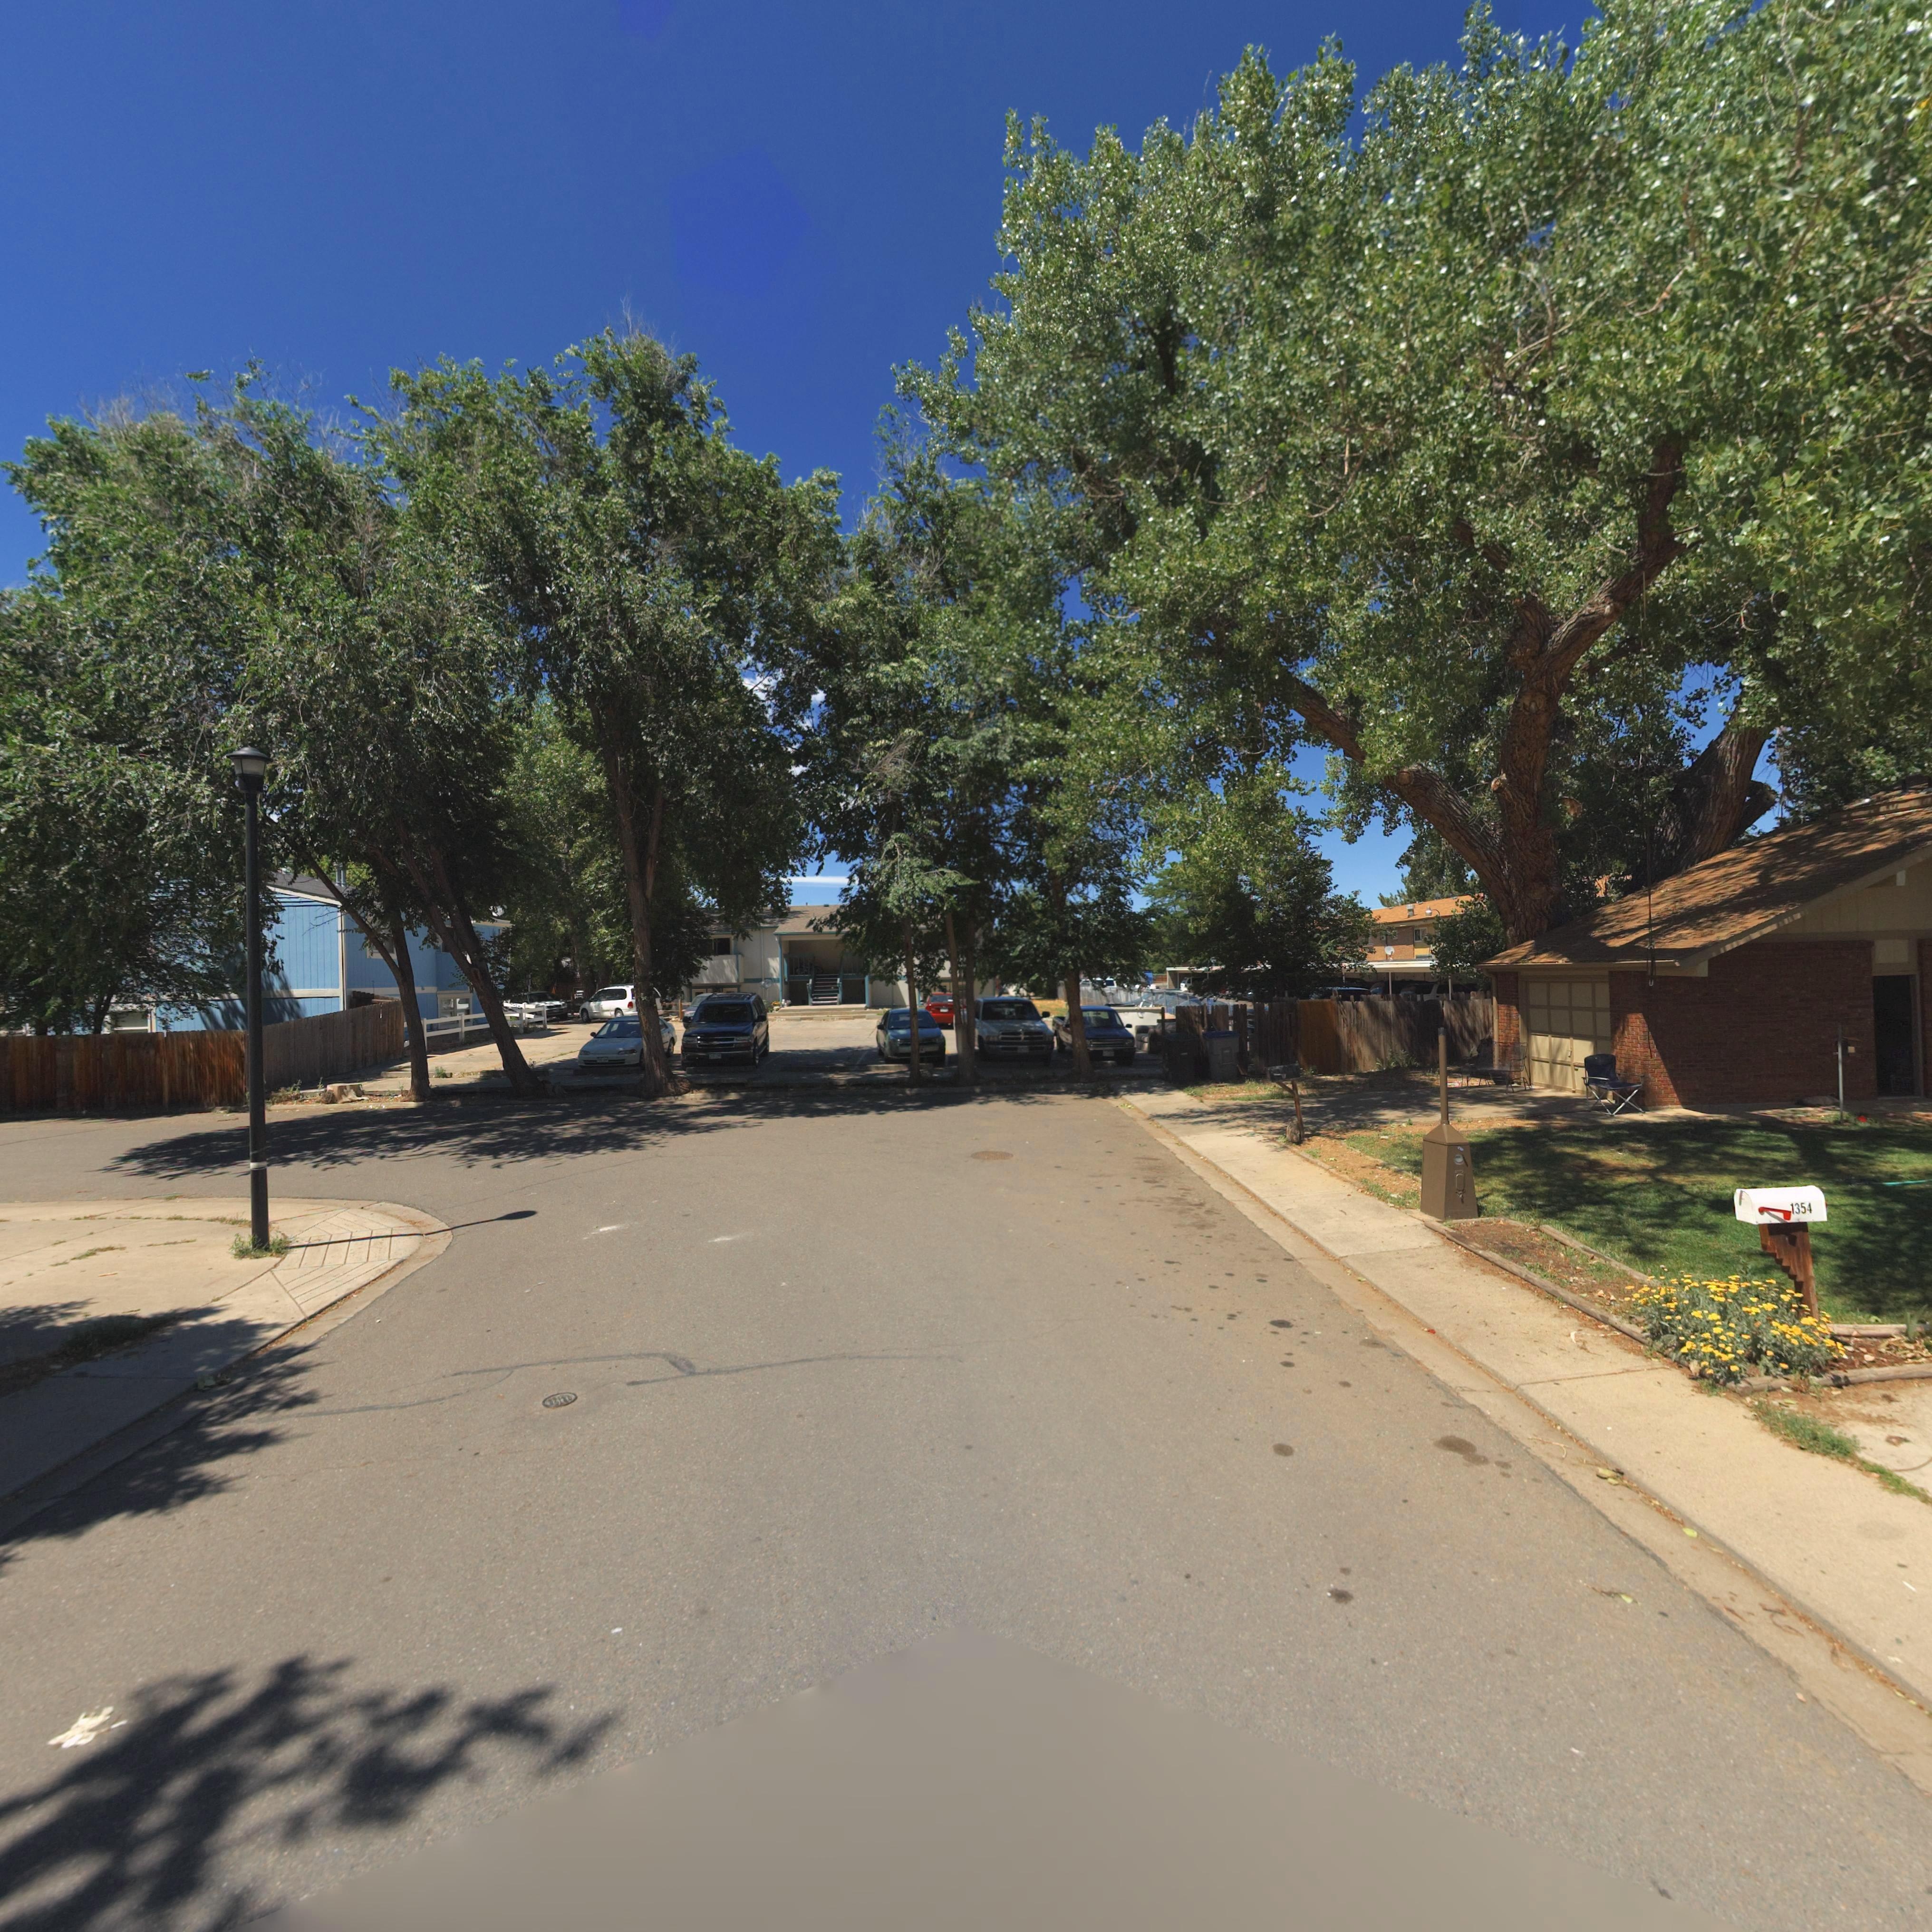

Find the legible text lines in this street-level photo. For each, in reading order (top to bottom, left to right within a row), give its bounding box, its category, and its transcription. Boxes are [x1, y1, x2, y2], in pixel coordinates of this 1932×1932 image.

[1789, 1202, 1813, 1215] StreetNumber: 1354